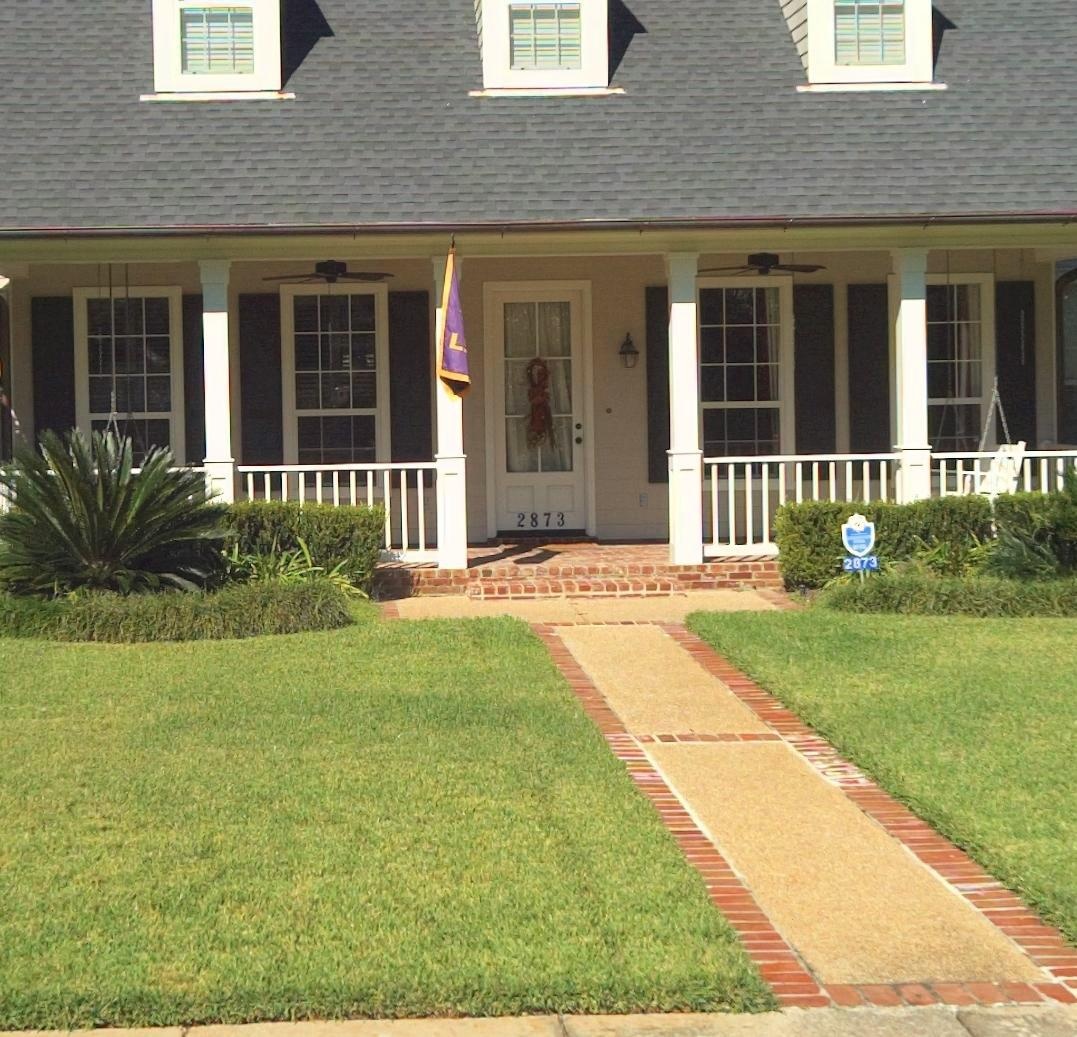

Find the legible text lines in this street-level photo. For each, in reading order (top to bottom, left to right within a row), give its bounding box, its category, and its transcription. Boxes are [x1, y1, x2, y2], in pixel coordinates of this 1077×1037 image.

[515, 510, 567, 529] StreetNumber: 2873
[842, 554, 879, 572] StreetNumber: 2873